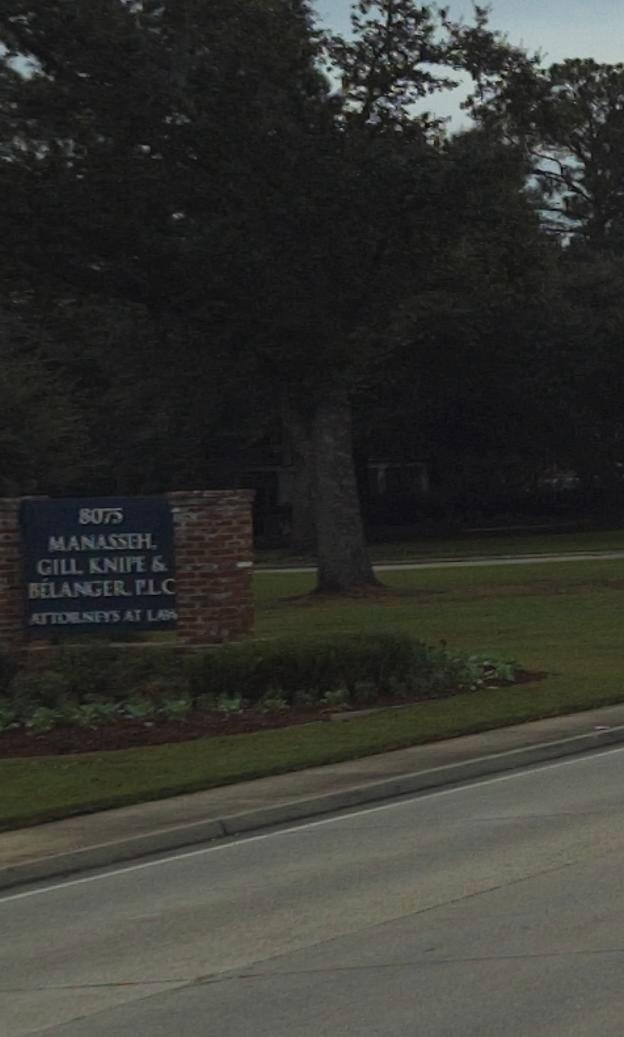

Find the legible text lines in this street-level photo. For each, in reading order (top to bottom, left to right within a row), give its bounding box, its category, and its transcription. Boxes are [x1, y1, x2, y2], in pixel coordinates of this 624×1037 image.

[77, 506, 124, 525] StreetNumber: 8075
[48, 531, 152, 552] BusinessName: MANASSEH,
[36, 554, 170, 577] BusinessName: GILL KNIFE &
[26, 577, 177, 600] BusinessName: BELANGER F.L.C
[29, 607, 179, 626] None: ATTORNEYS AT LAW